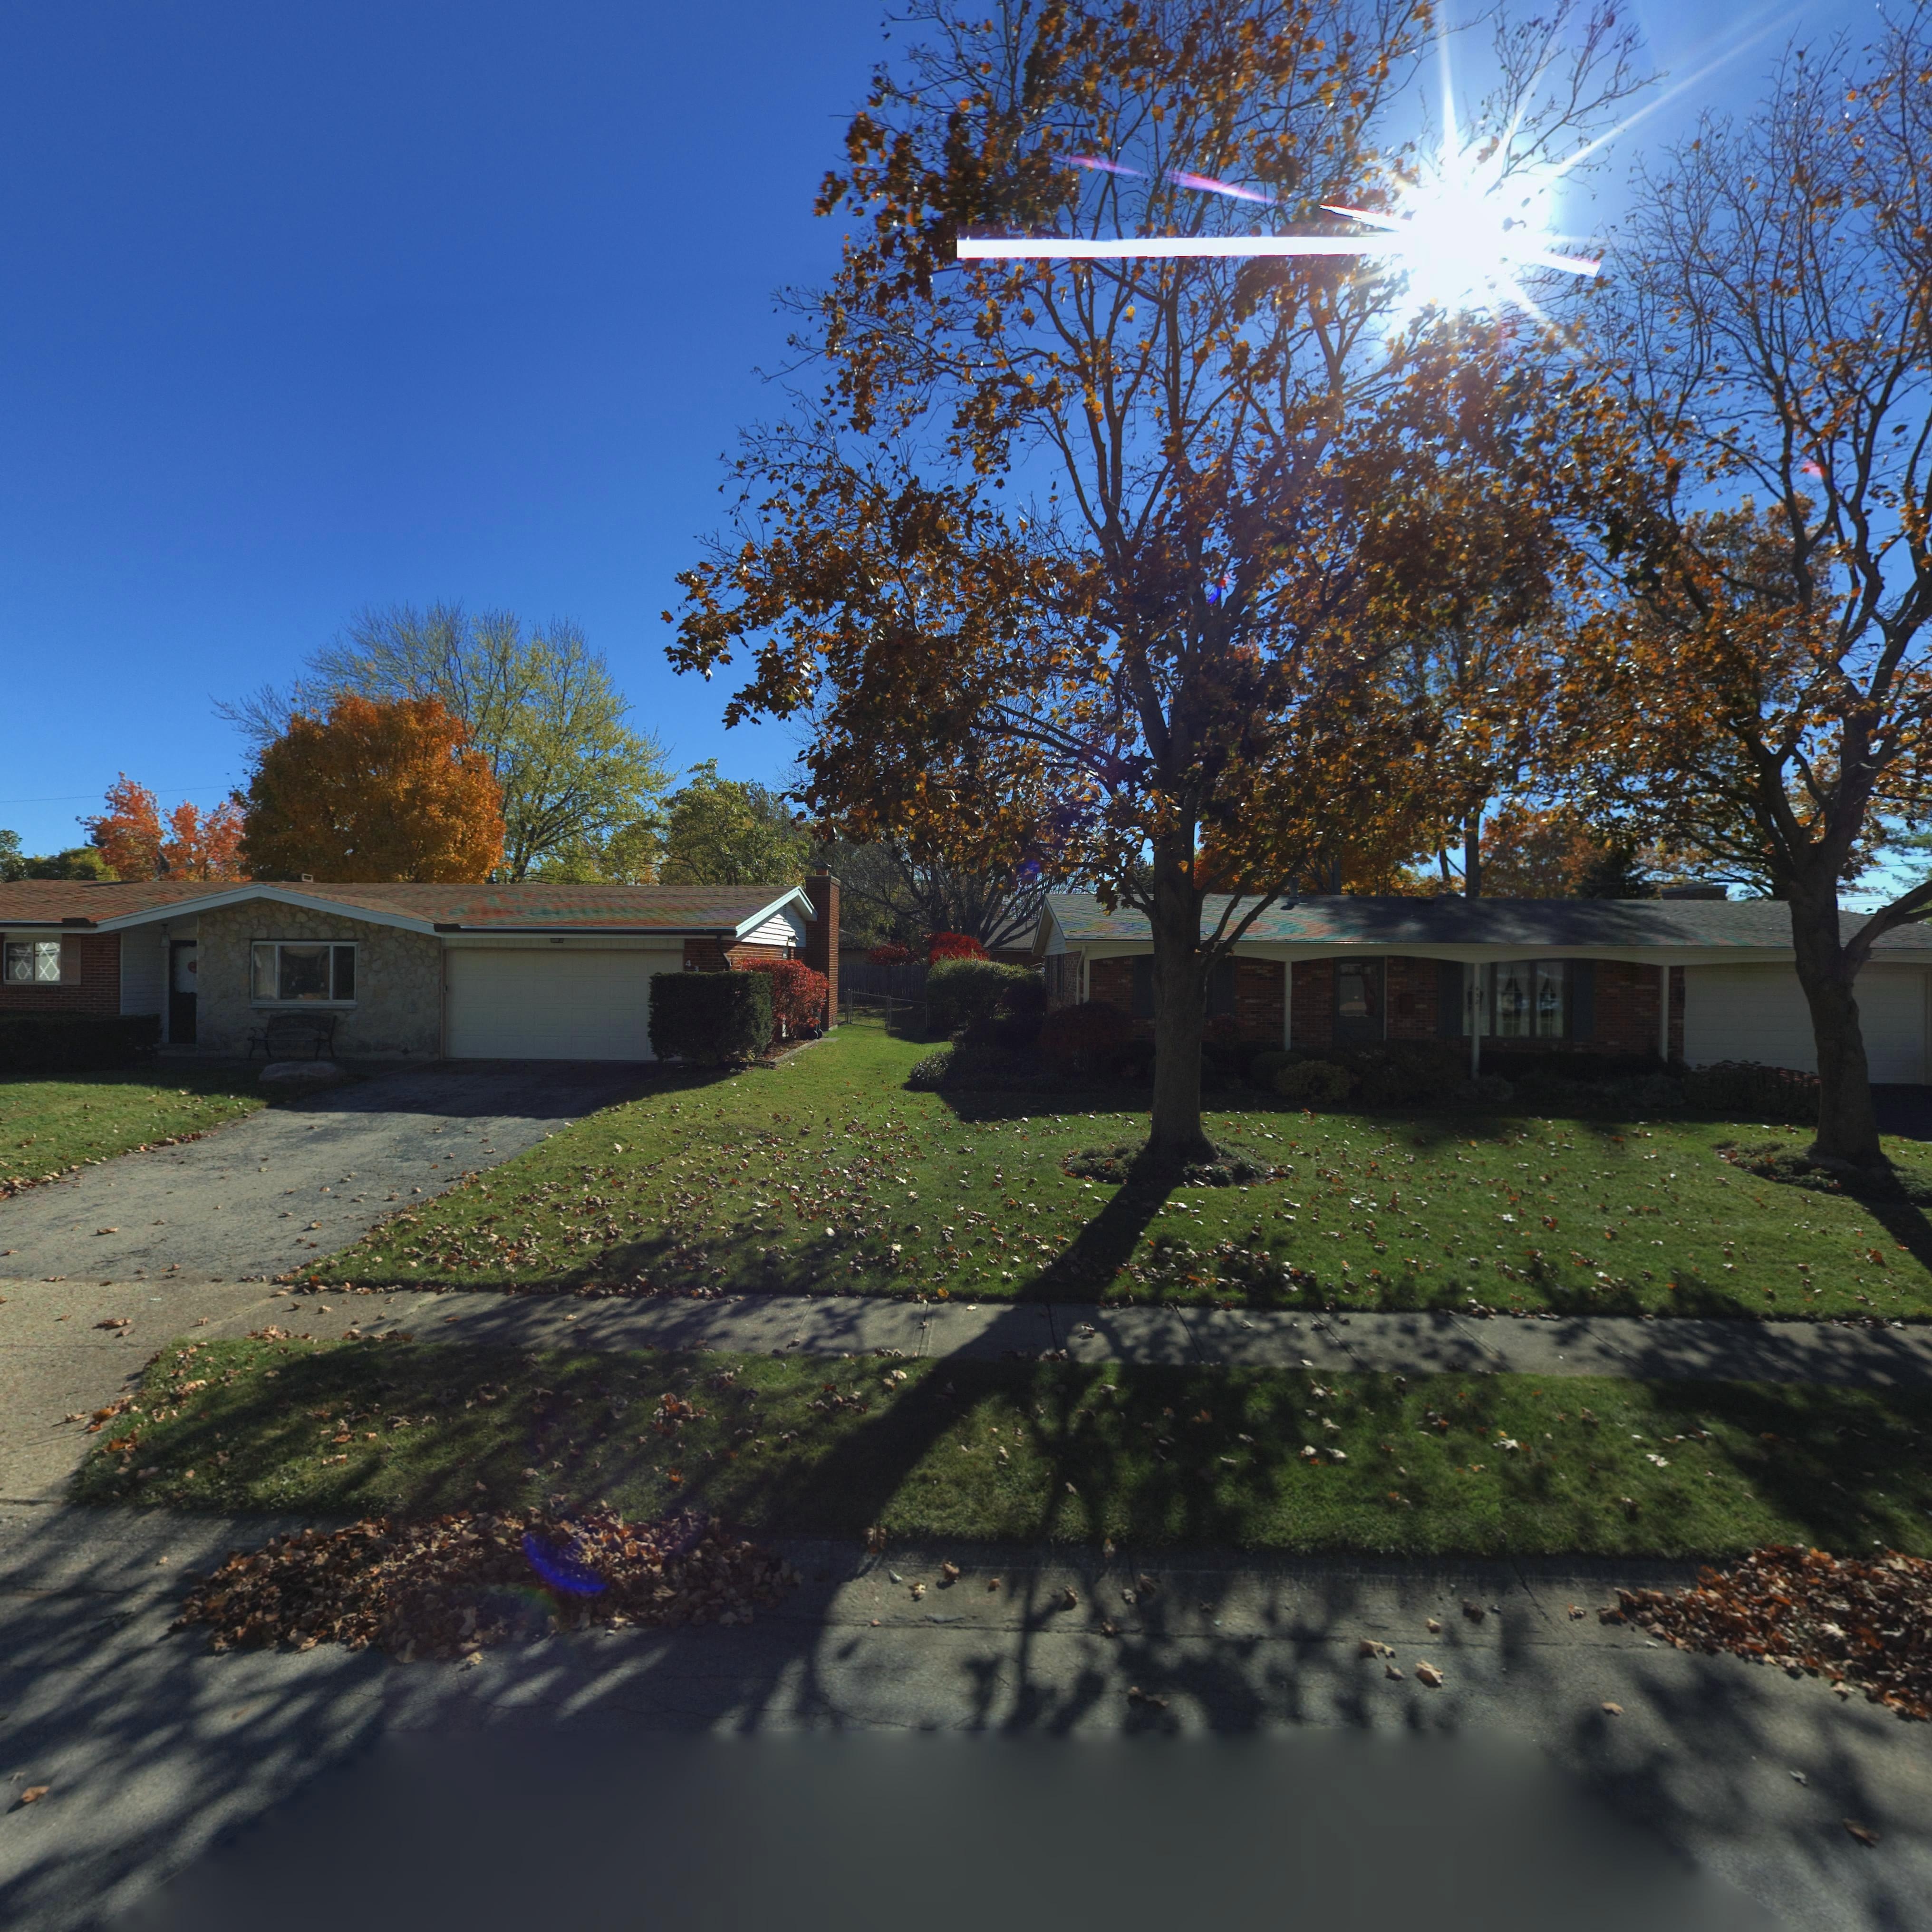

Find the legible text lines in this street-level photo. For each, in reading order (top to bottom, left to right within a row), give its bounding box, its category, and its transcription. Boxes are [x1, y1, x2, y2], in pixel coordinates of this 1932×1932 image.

[684, 958, 700, 973] StreetNumber: 43